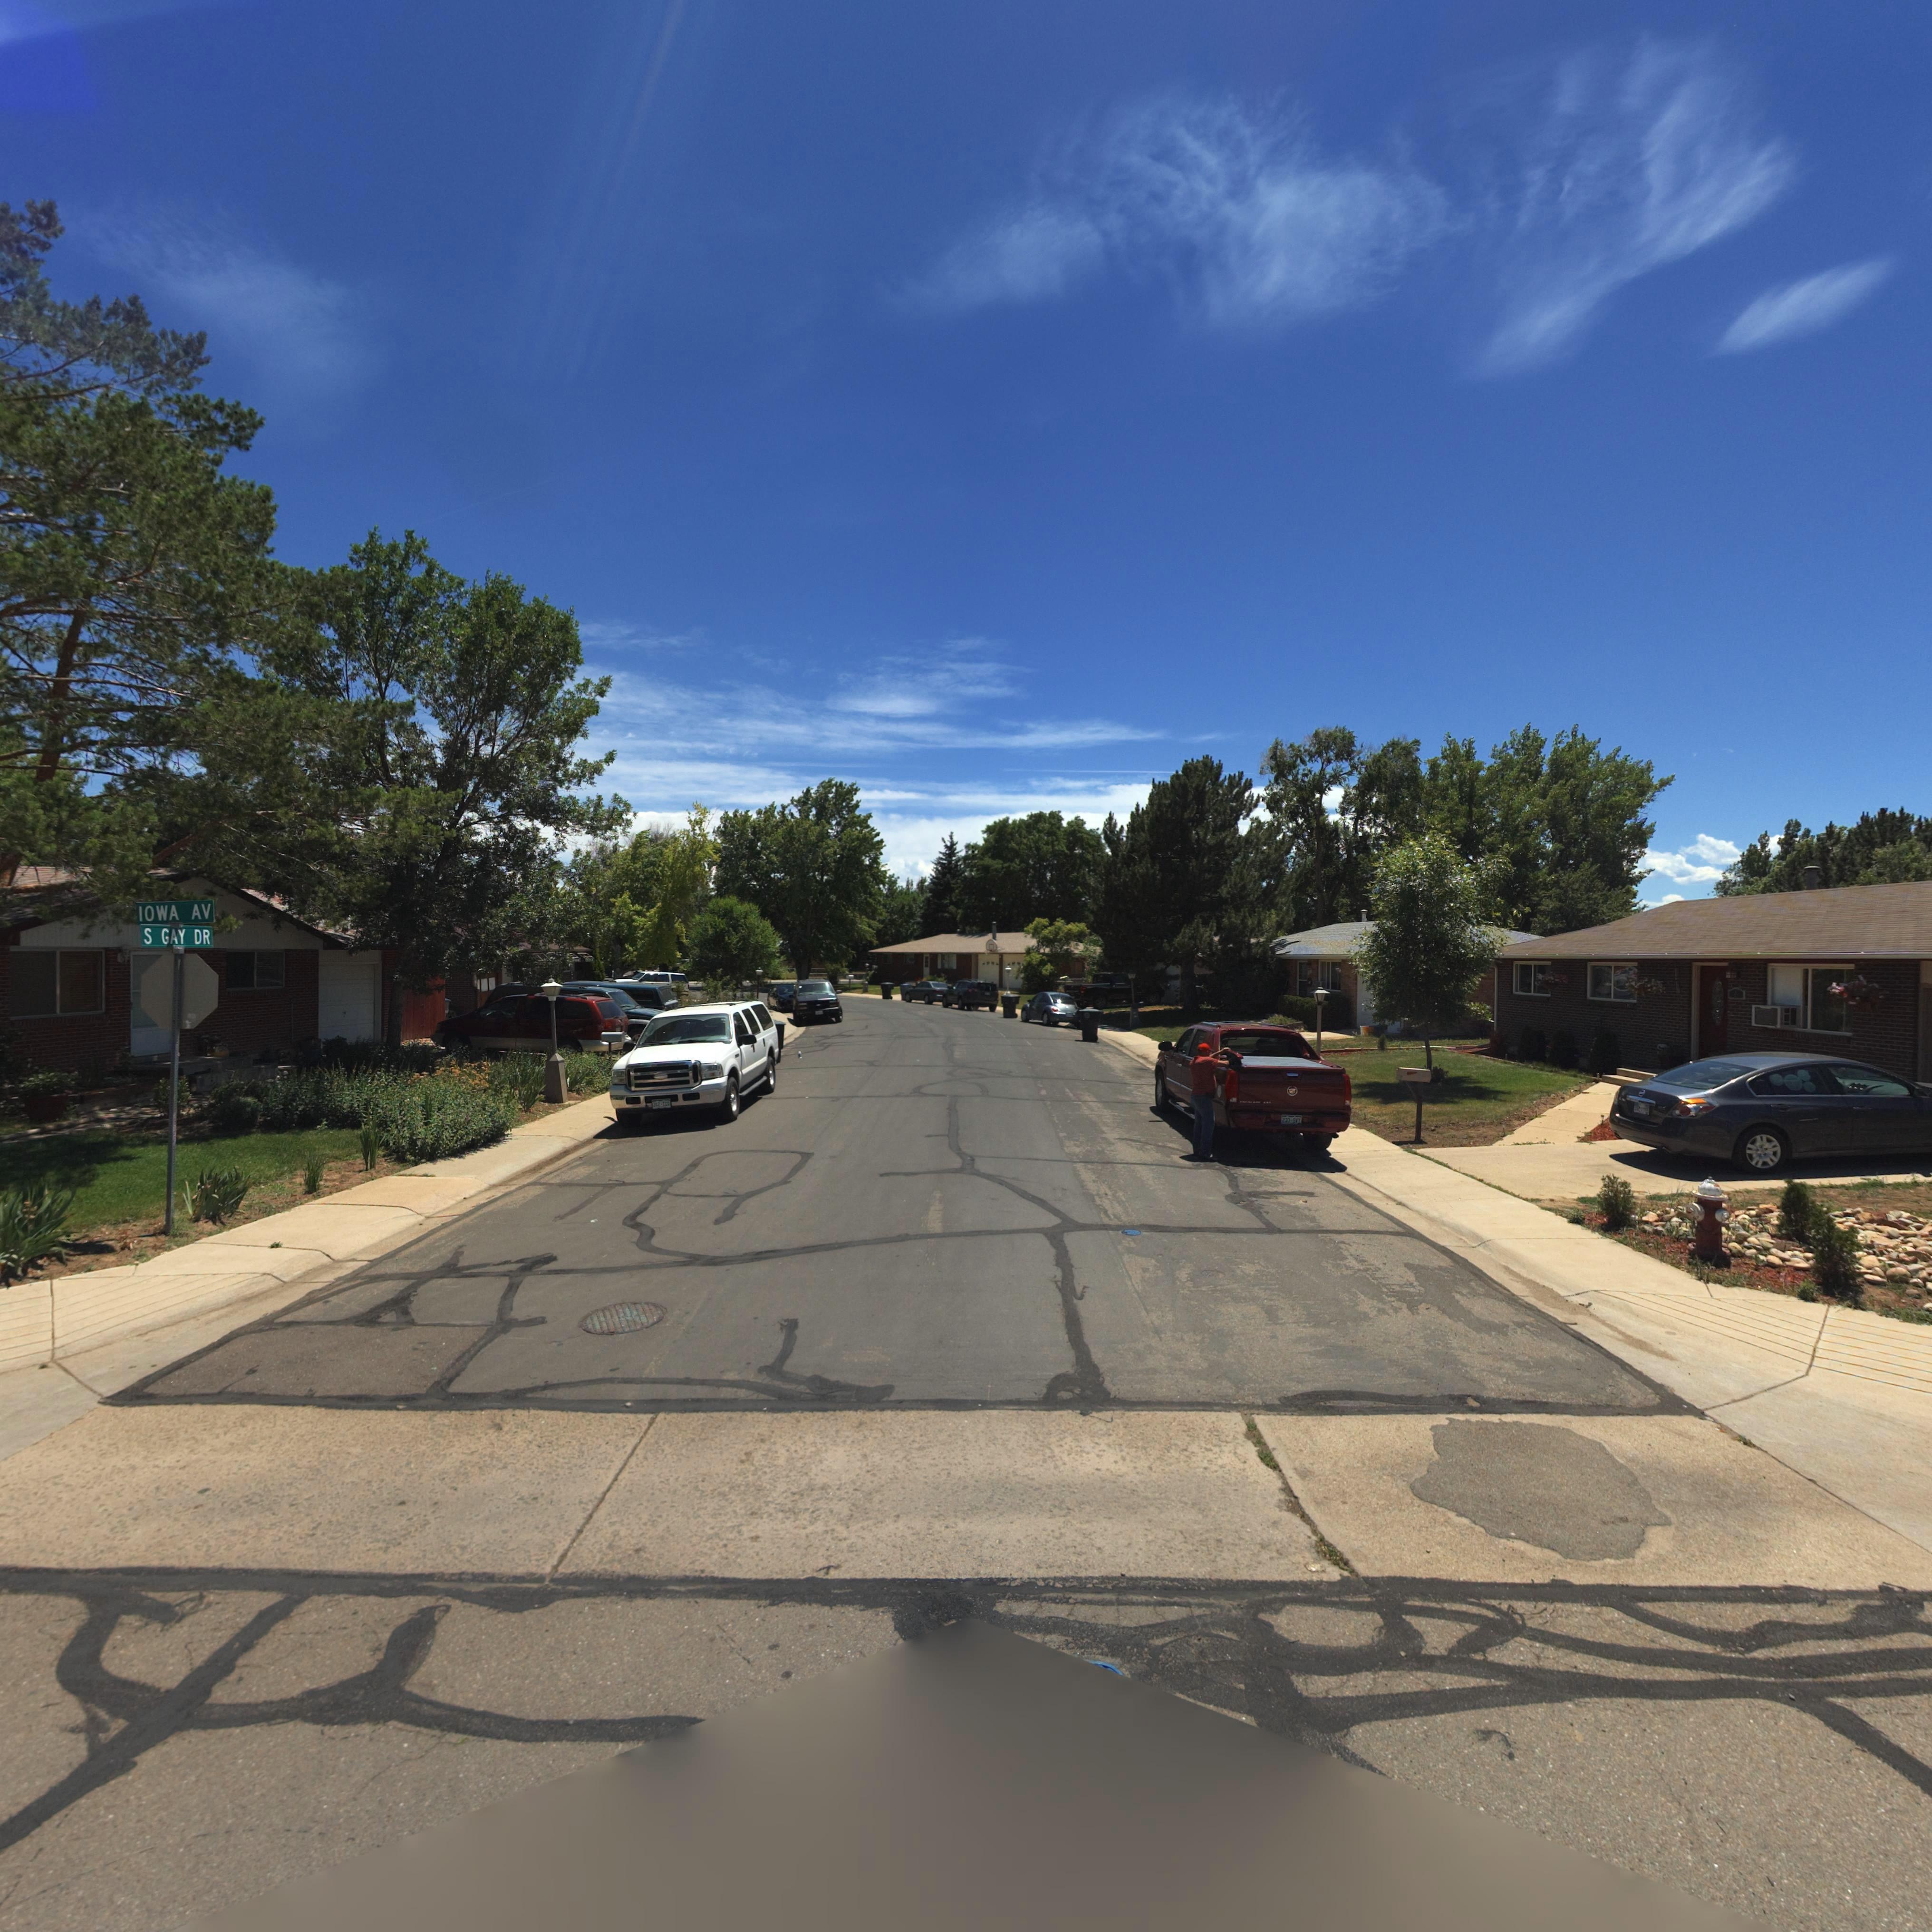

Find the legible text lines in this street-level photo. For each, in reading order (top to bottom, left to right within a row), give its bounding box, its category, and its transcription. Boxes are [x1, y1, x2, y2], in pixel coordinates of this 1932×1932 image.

[137, 902, 213, 922] StreetName: IOWA AV
[143, 927, 211, 945] StreetName: S GAY DR